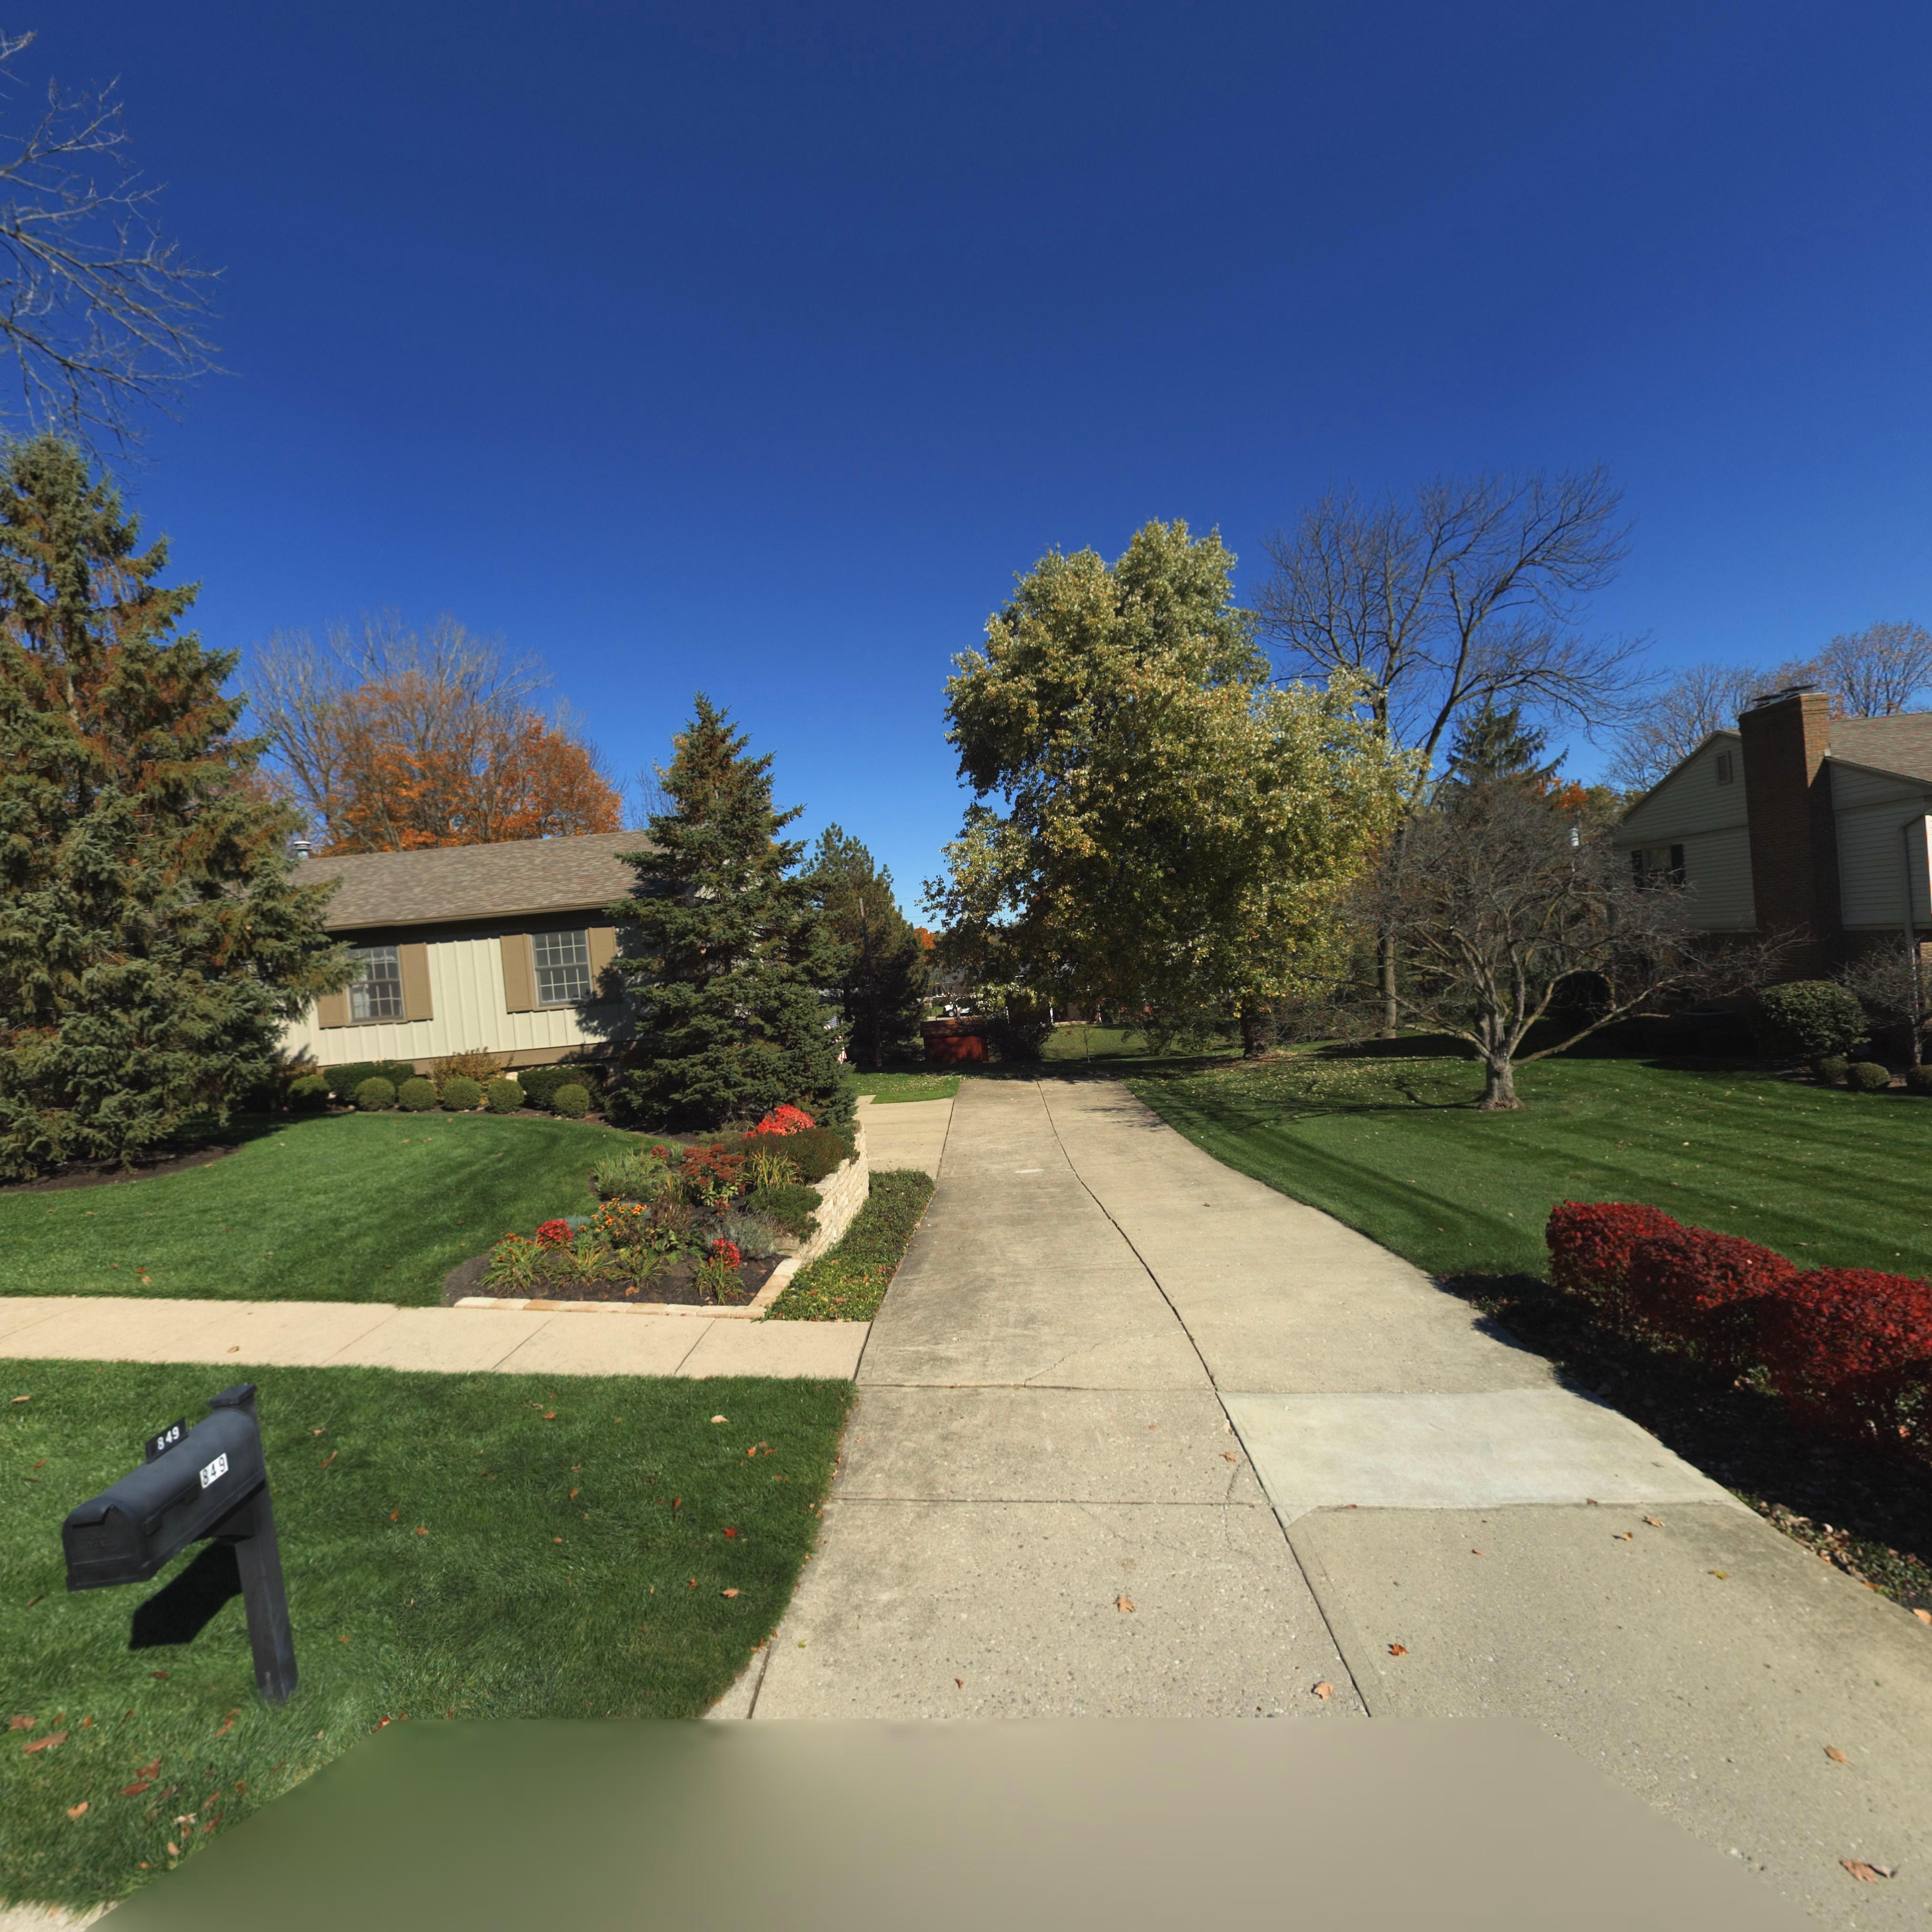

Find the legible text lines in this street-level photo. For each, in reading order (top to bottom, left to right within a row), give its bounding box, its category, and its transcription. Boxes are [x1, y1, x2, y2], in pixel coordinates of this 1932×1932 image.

[155, 1423, 181, 1452] StreetNumber: 849
[201, 1454, 227, 1488] StreetNumber: 849